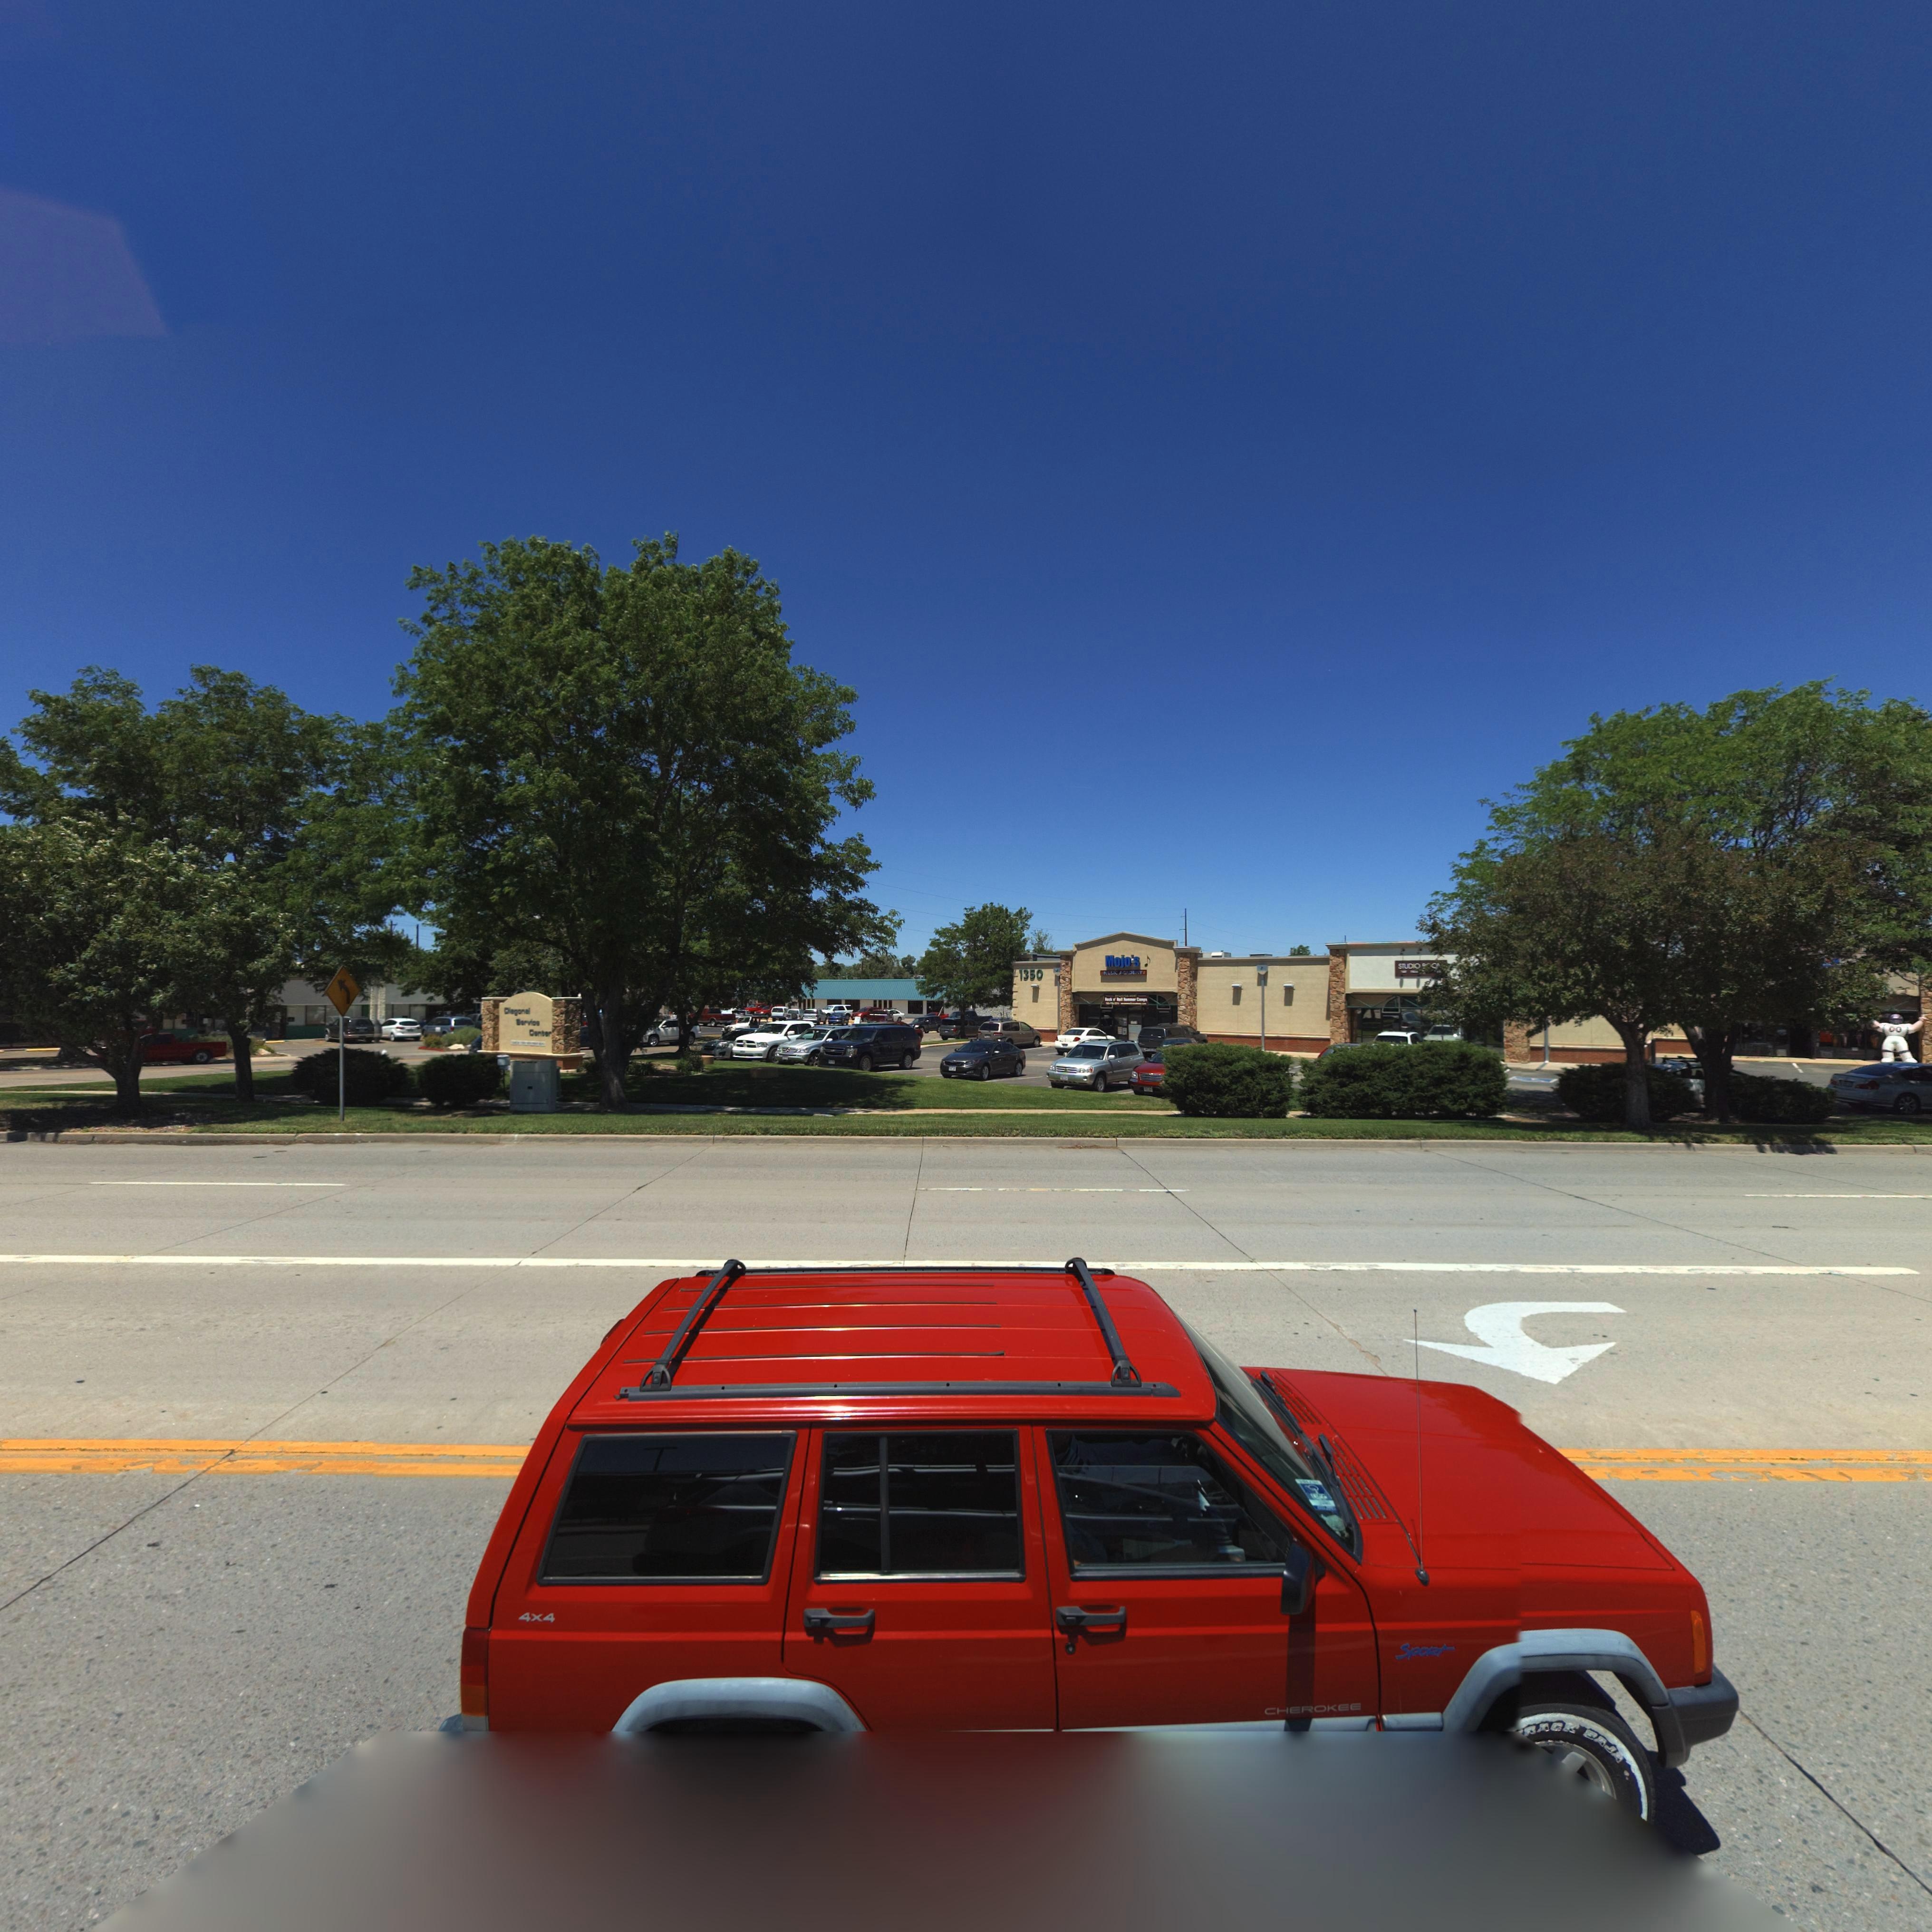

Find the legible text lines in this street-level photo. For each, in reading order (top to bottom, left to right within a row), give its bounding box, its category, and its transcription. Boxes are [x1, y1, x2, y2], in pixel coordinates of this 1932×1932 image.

[1105, 954, 1140, 968] BusinessName: Mojo's
[1397, 963, 1443, 969] BusinessName: STUDIO **O*
[1019, 968, 1043, 979] StreetNumber: 1350
[1103, 970, 1143, 975] BusinessName: MUSIC ACADEMY
[529, 1029, 552, 1037] BusinessName: Center